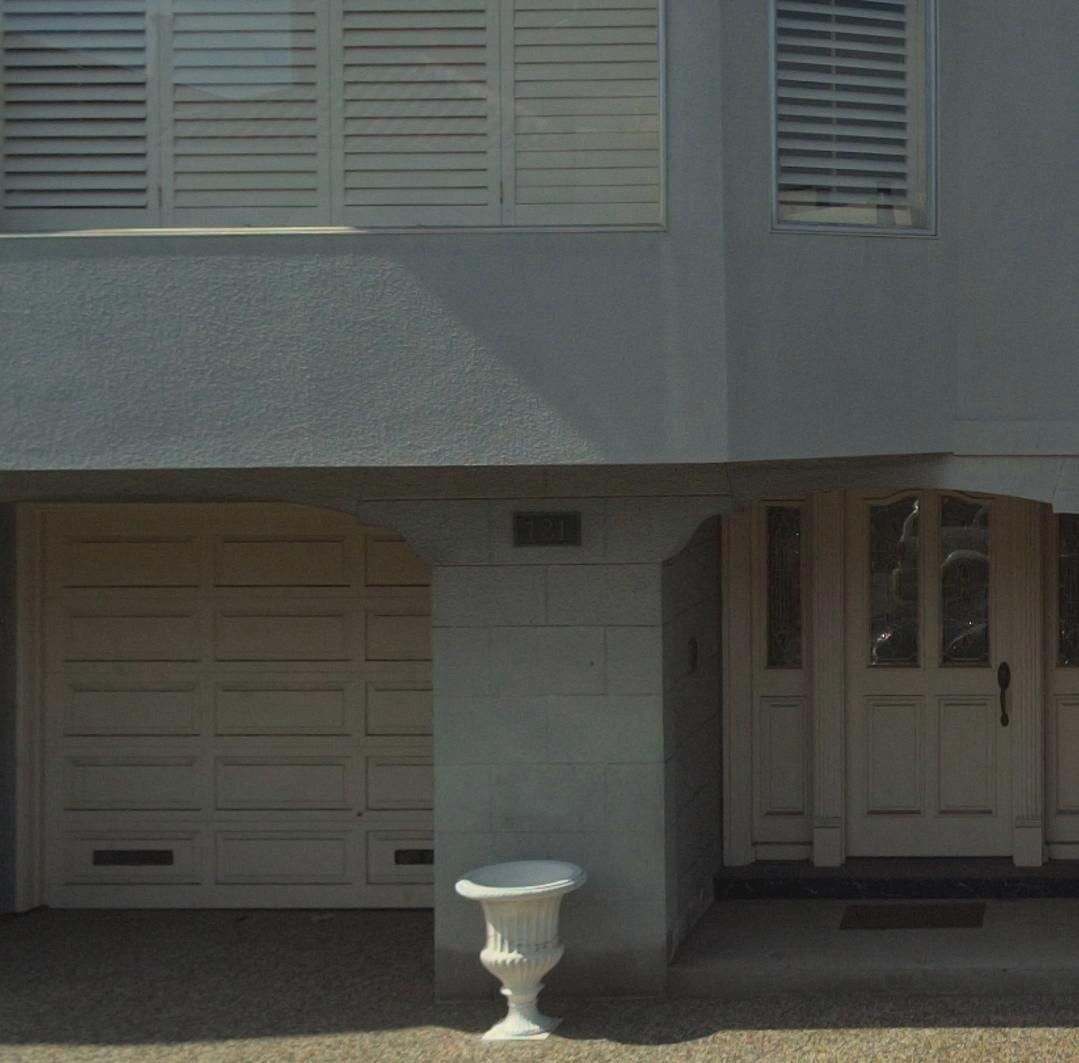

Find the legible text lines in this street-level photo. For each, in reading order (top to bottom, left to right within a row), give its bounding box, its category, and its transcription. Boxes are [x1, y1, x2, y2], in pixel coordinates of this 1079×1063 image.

[524, 515, 568, 545] StreetNumber: 121